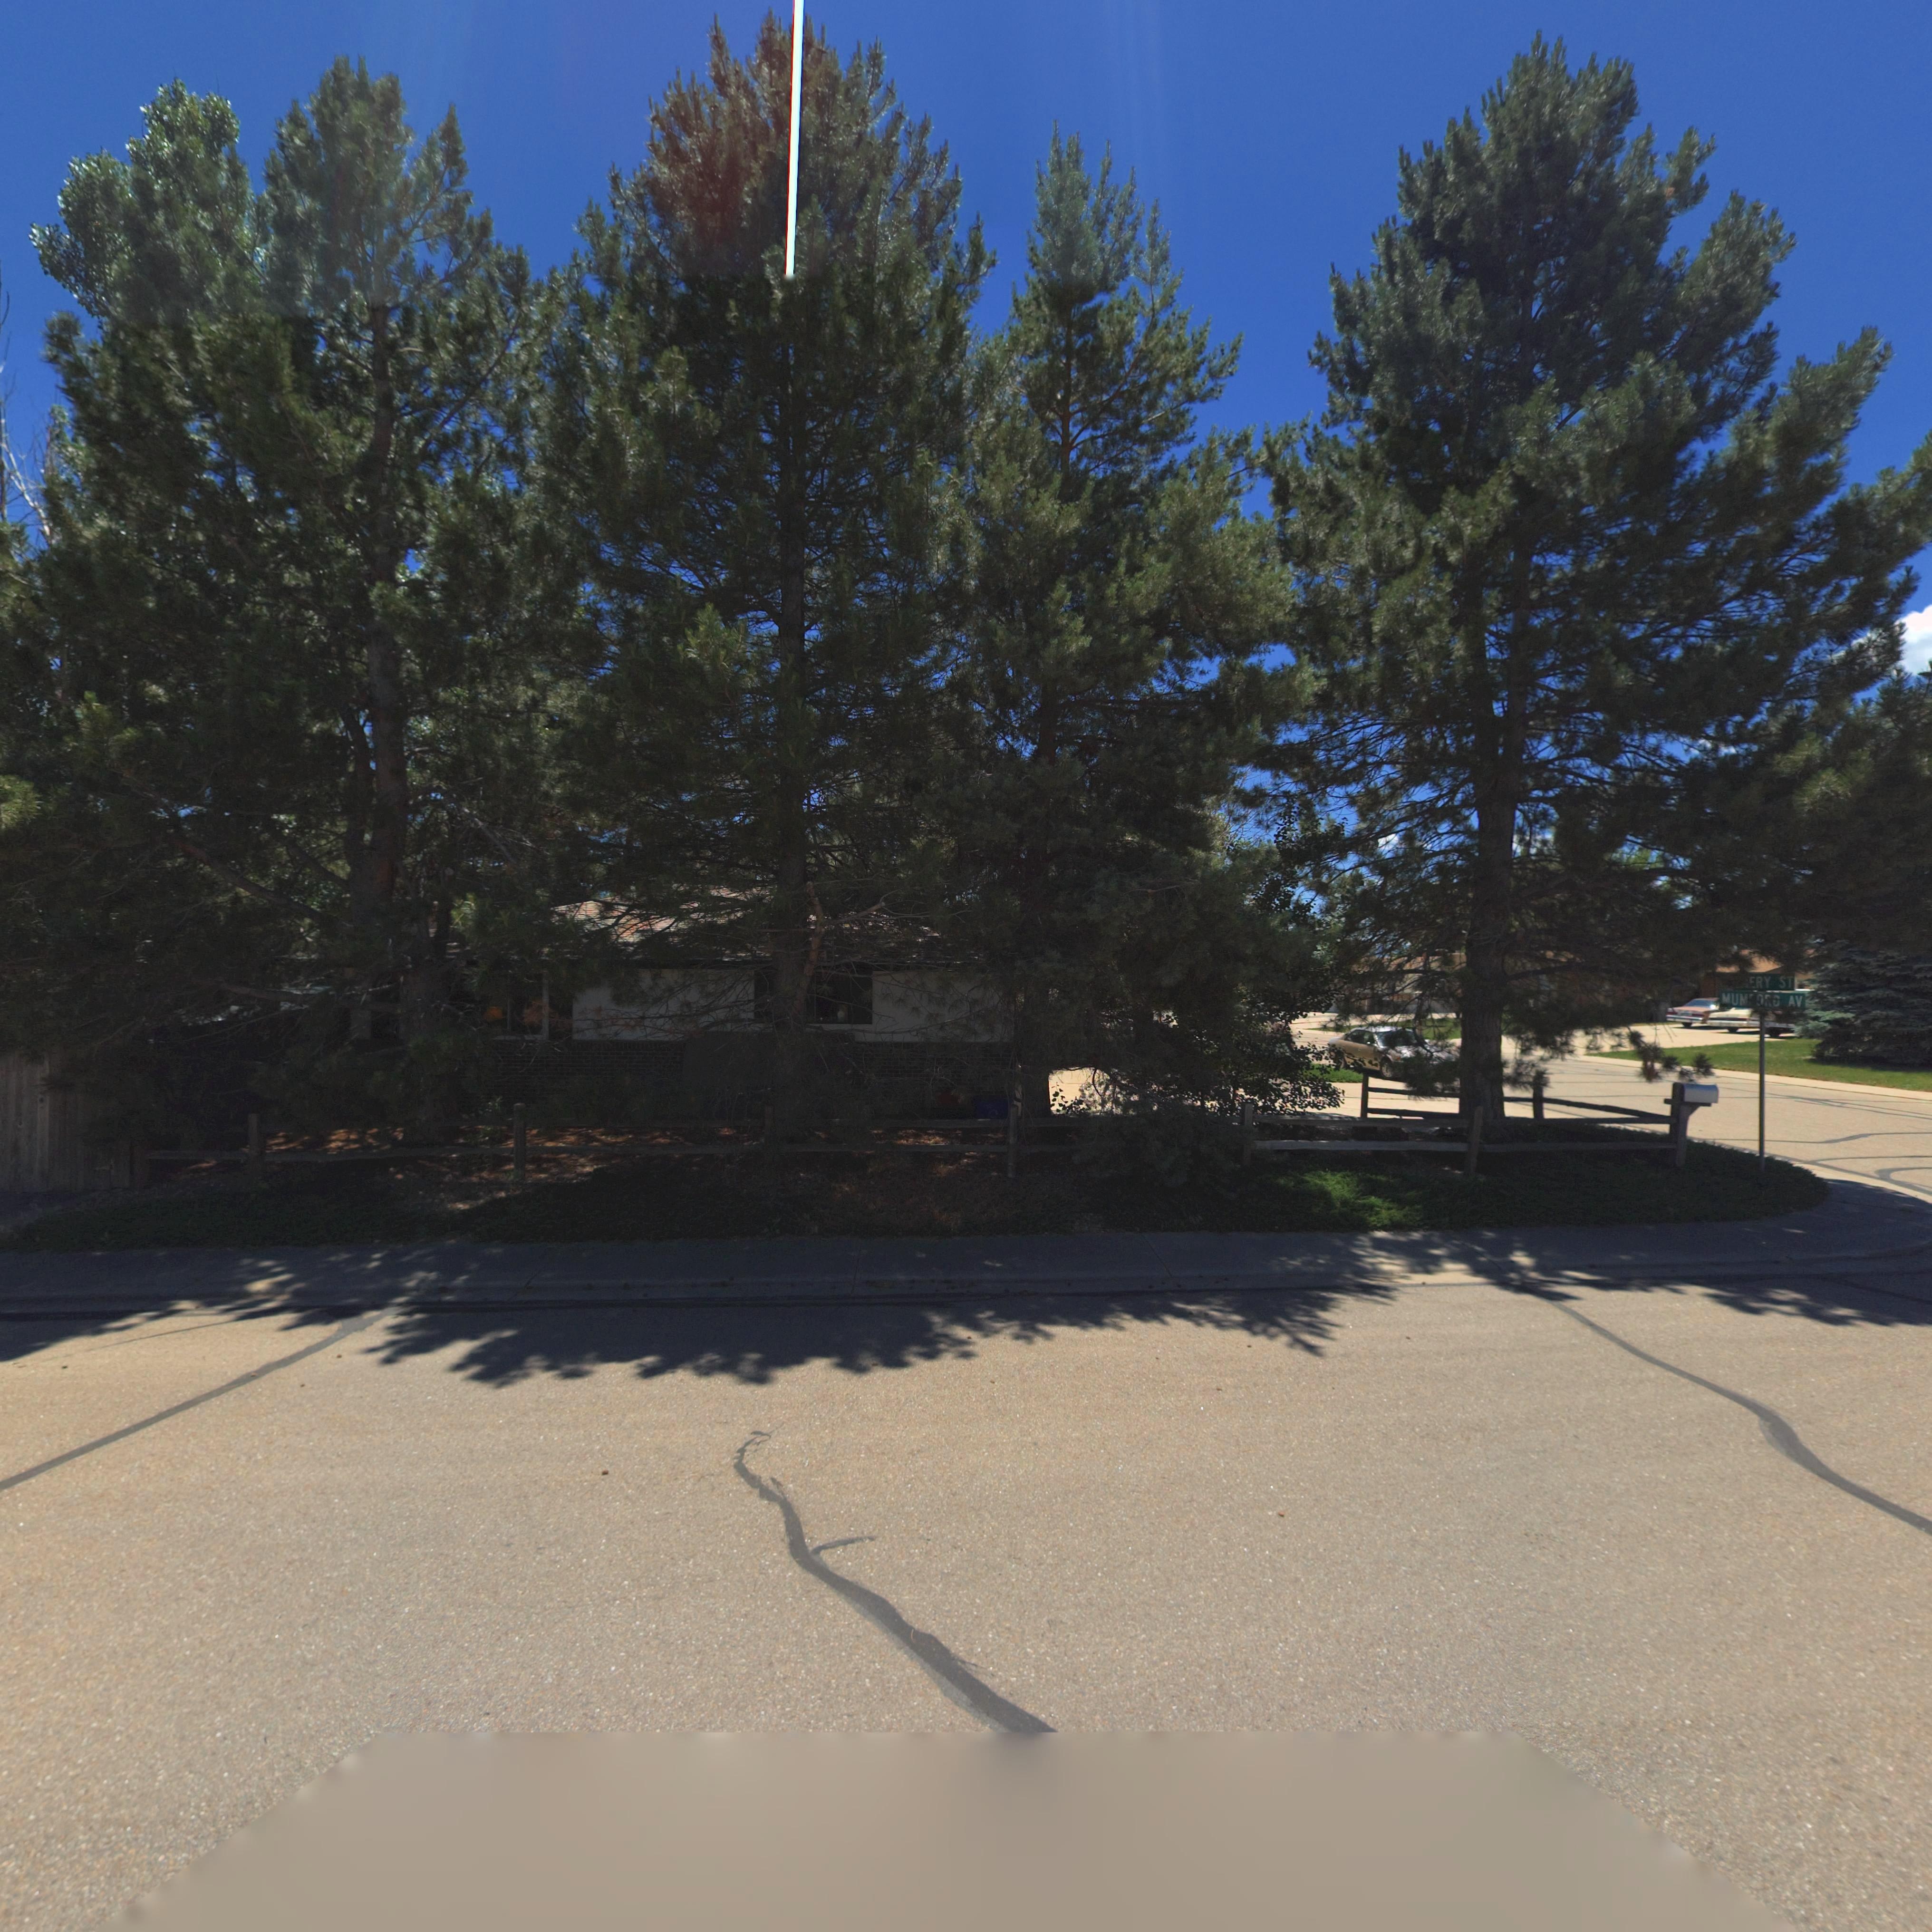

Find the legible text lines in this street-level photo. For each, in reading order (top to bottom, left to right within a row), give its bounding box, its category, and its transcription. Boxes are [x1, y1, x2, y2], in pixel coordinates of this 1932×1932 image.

[1748, 975, 1794, 988] StreetNumber: *RY ST
[1721, 991, 1804, 1007] StreetName: MUM*O*D AV